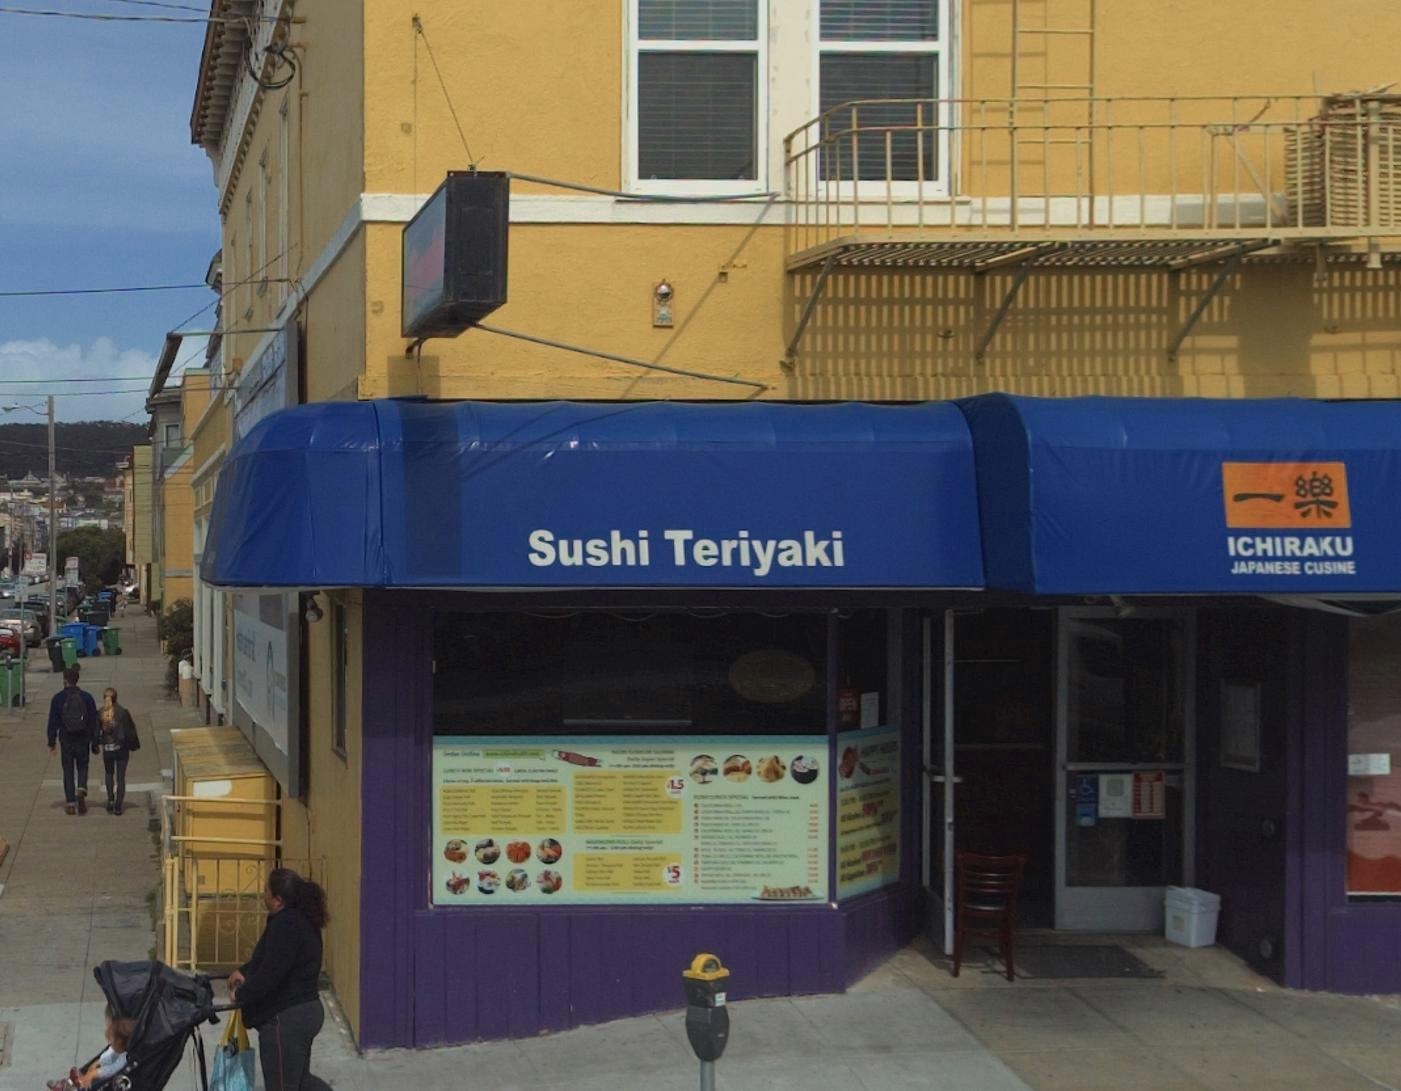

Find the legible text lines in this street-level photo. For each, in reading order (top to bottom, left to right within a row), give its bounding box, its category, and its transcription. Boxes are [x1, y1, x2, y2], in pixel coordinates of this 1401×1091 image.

[520, 524, 848, 582] None: Sushi Teriyaki
[1222, 532, 1359, 563] BusinessName: ICHIRAKU
[1227, 557, 1359, 579] None: JAPENESE CUISINE
[669, 863, 681, 884] None: 5